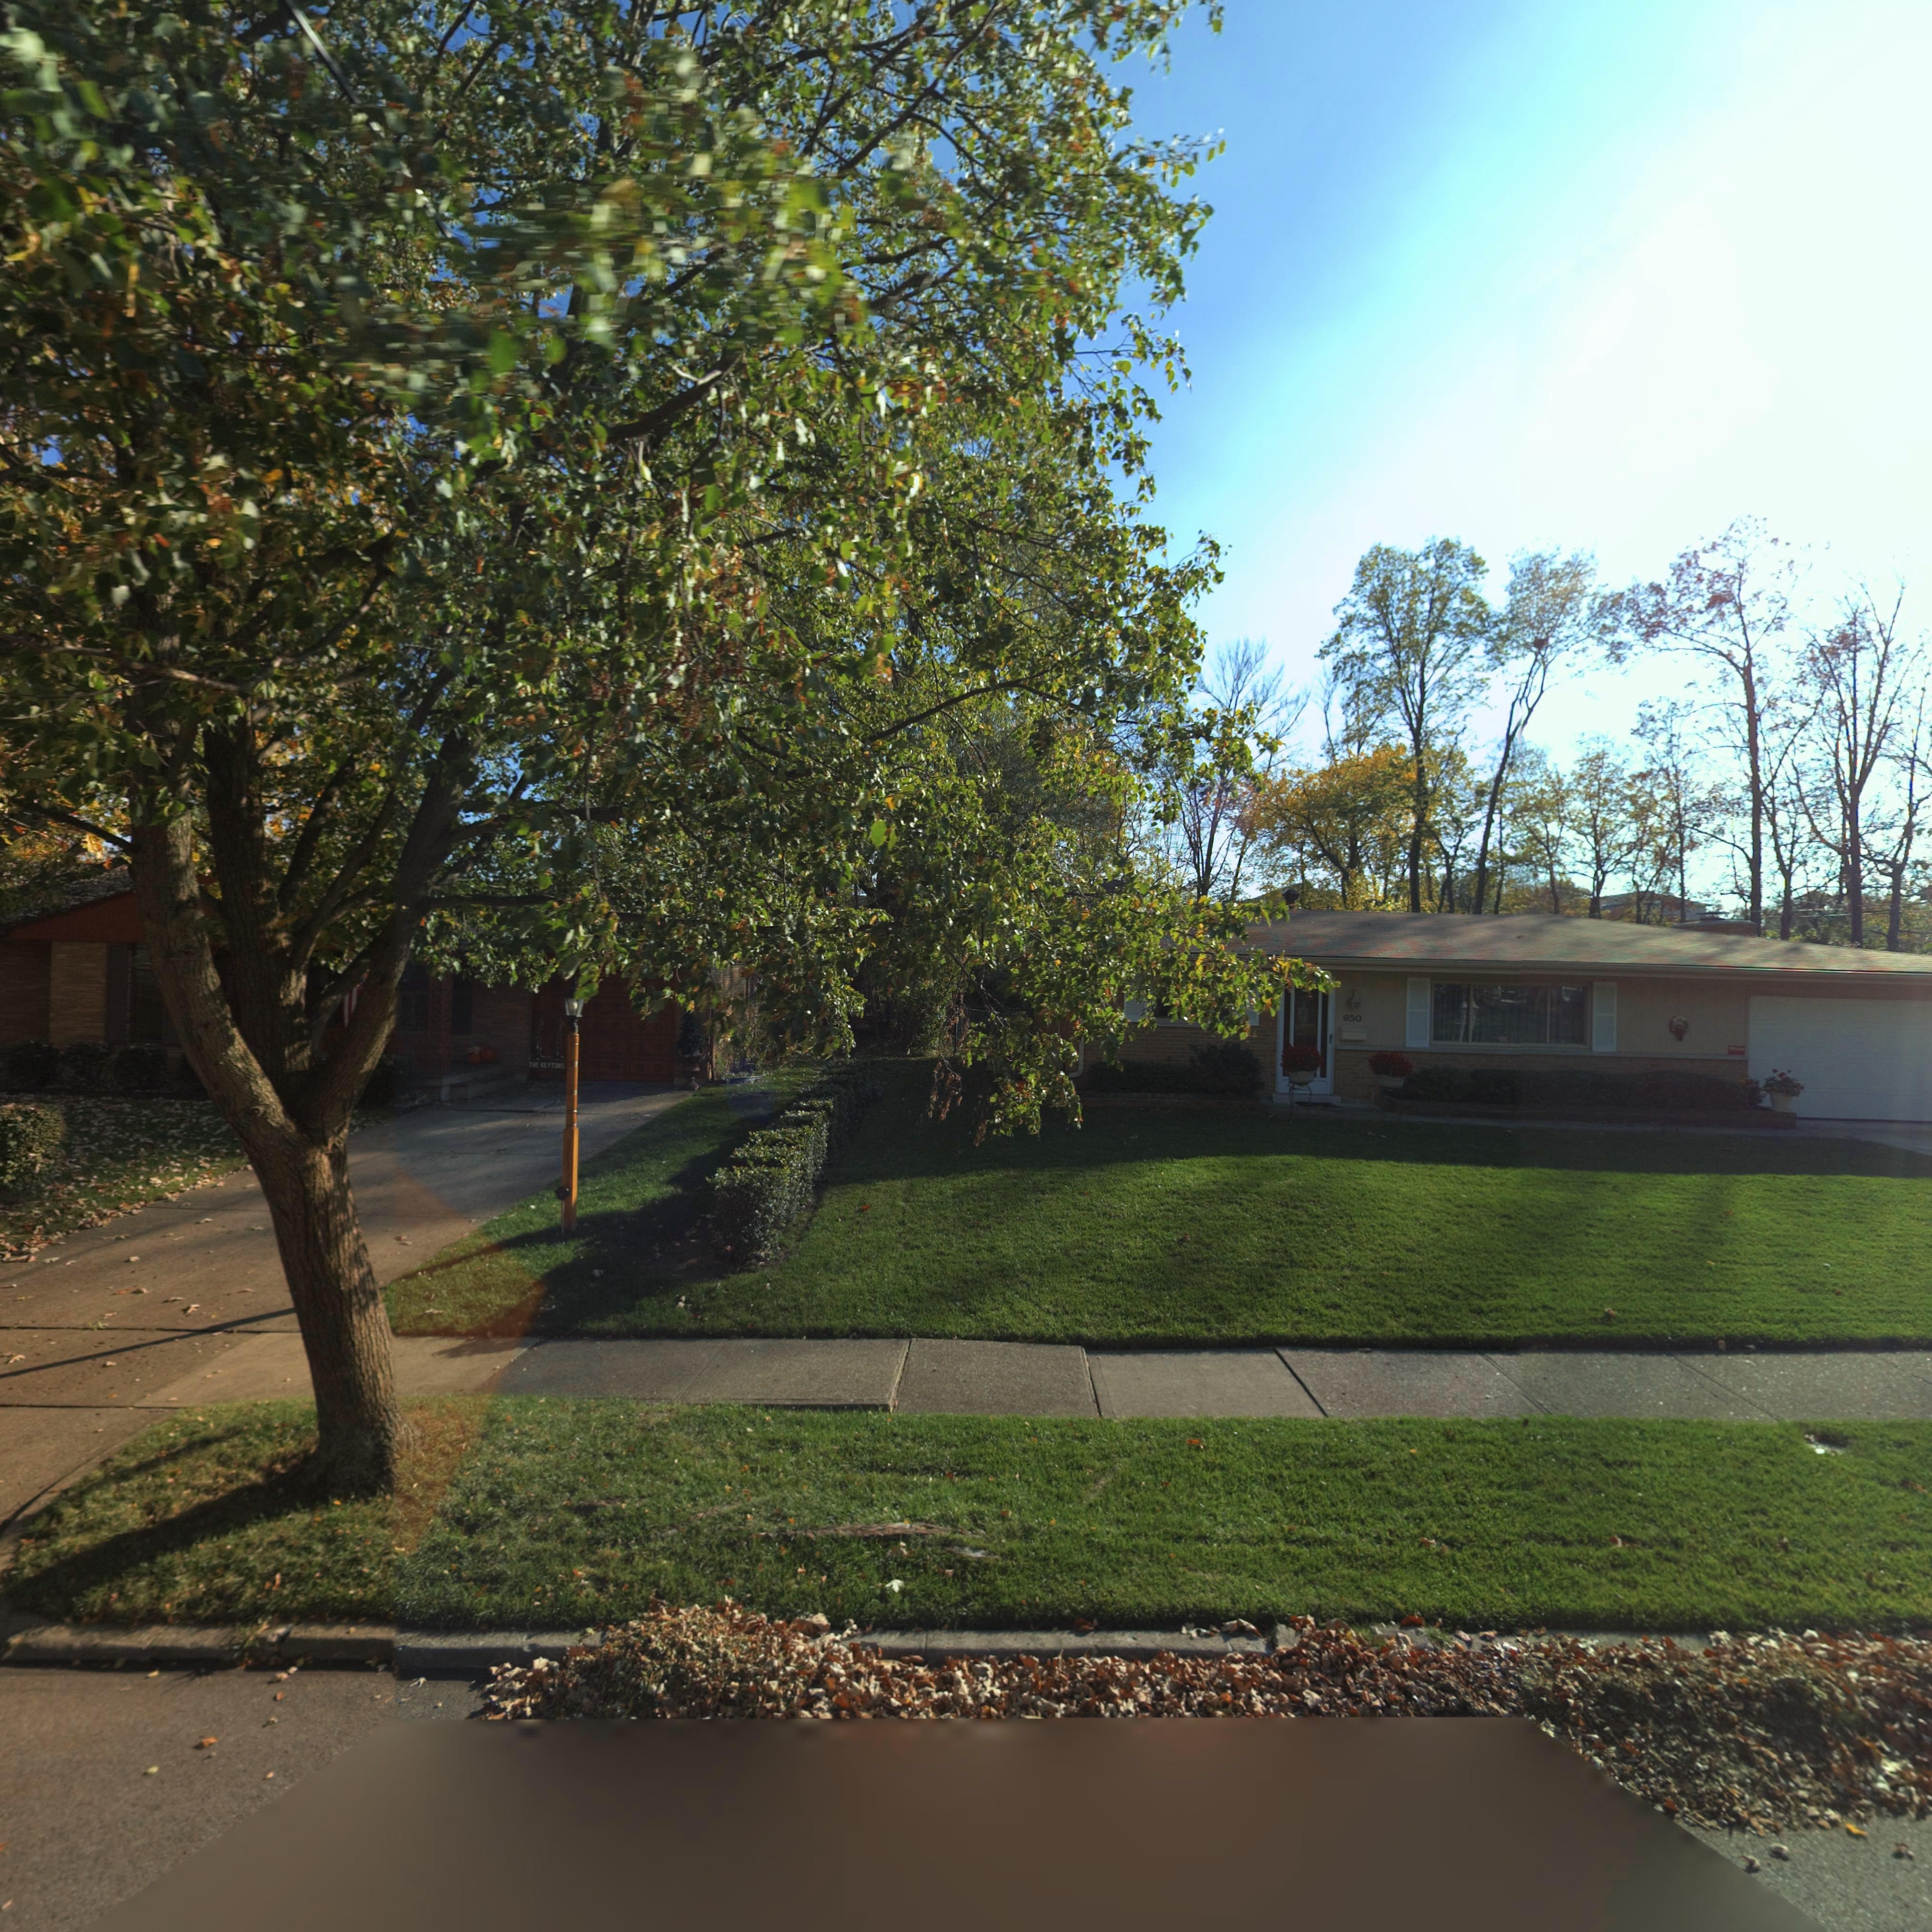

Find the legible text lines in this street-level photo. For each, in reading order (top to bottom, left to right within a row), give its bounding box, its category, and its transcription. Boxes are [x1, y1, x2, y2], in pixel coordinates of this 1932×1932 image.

[1343, 1014, 1362, 1022] StreetNumber: 650